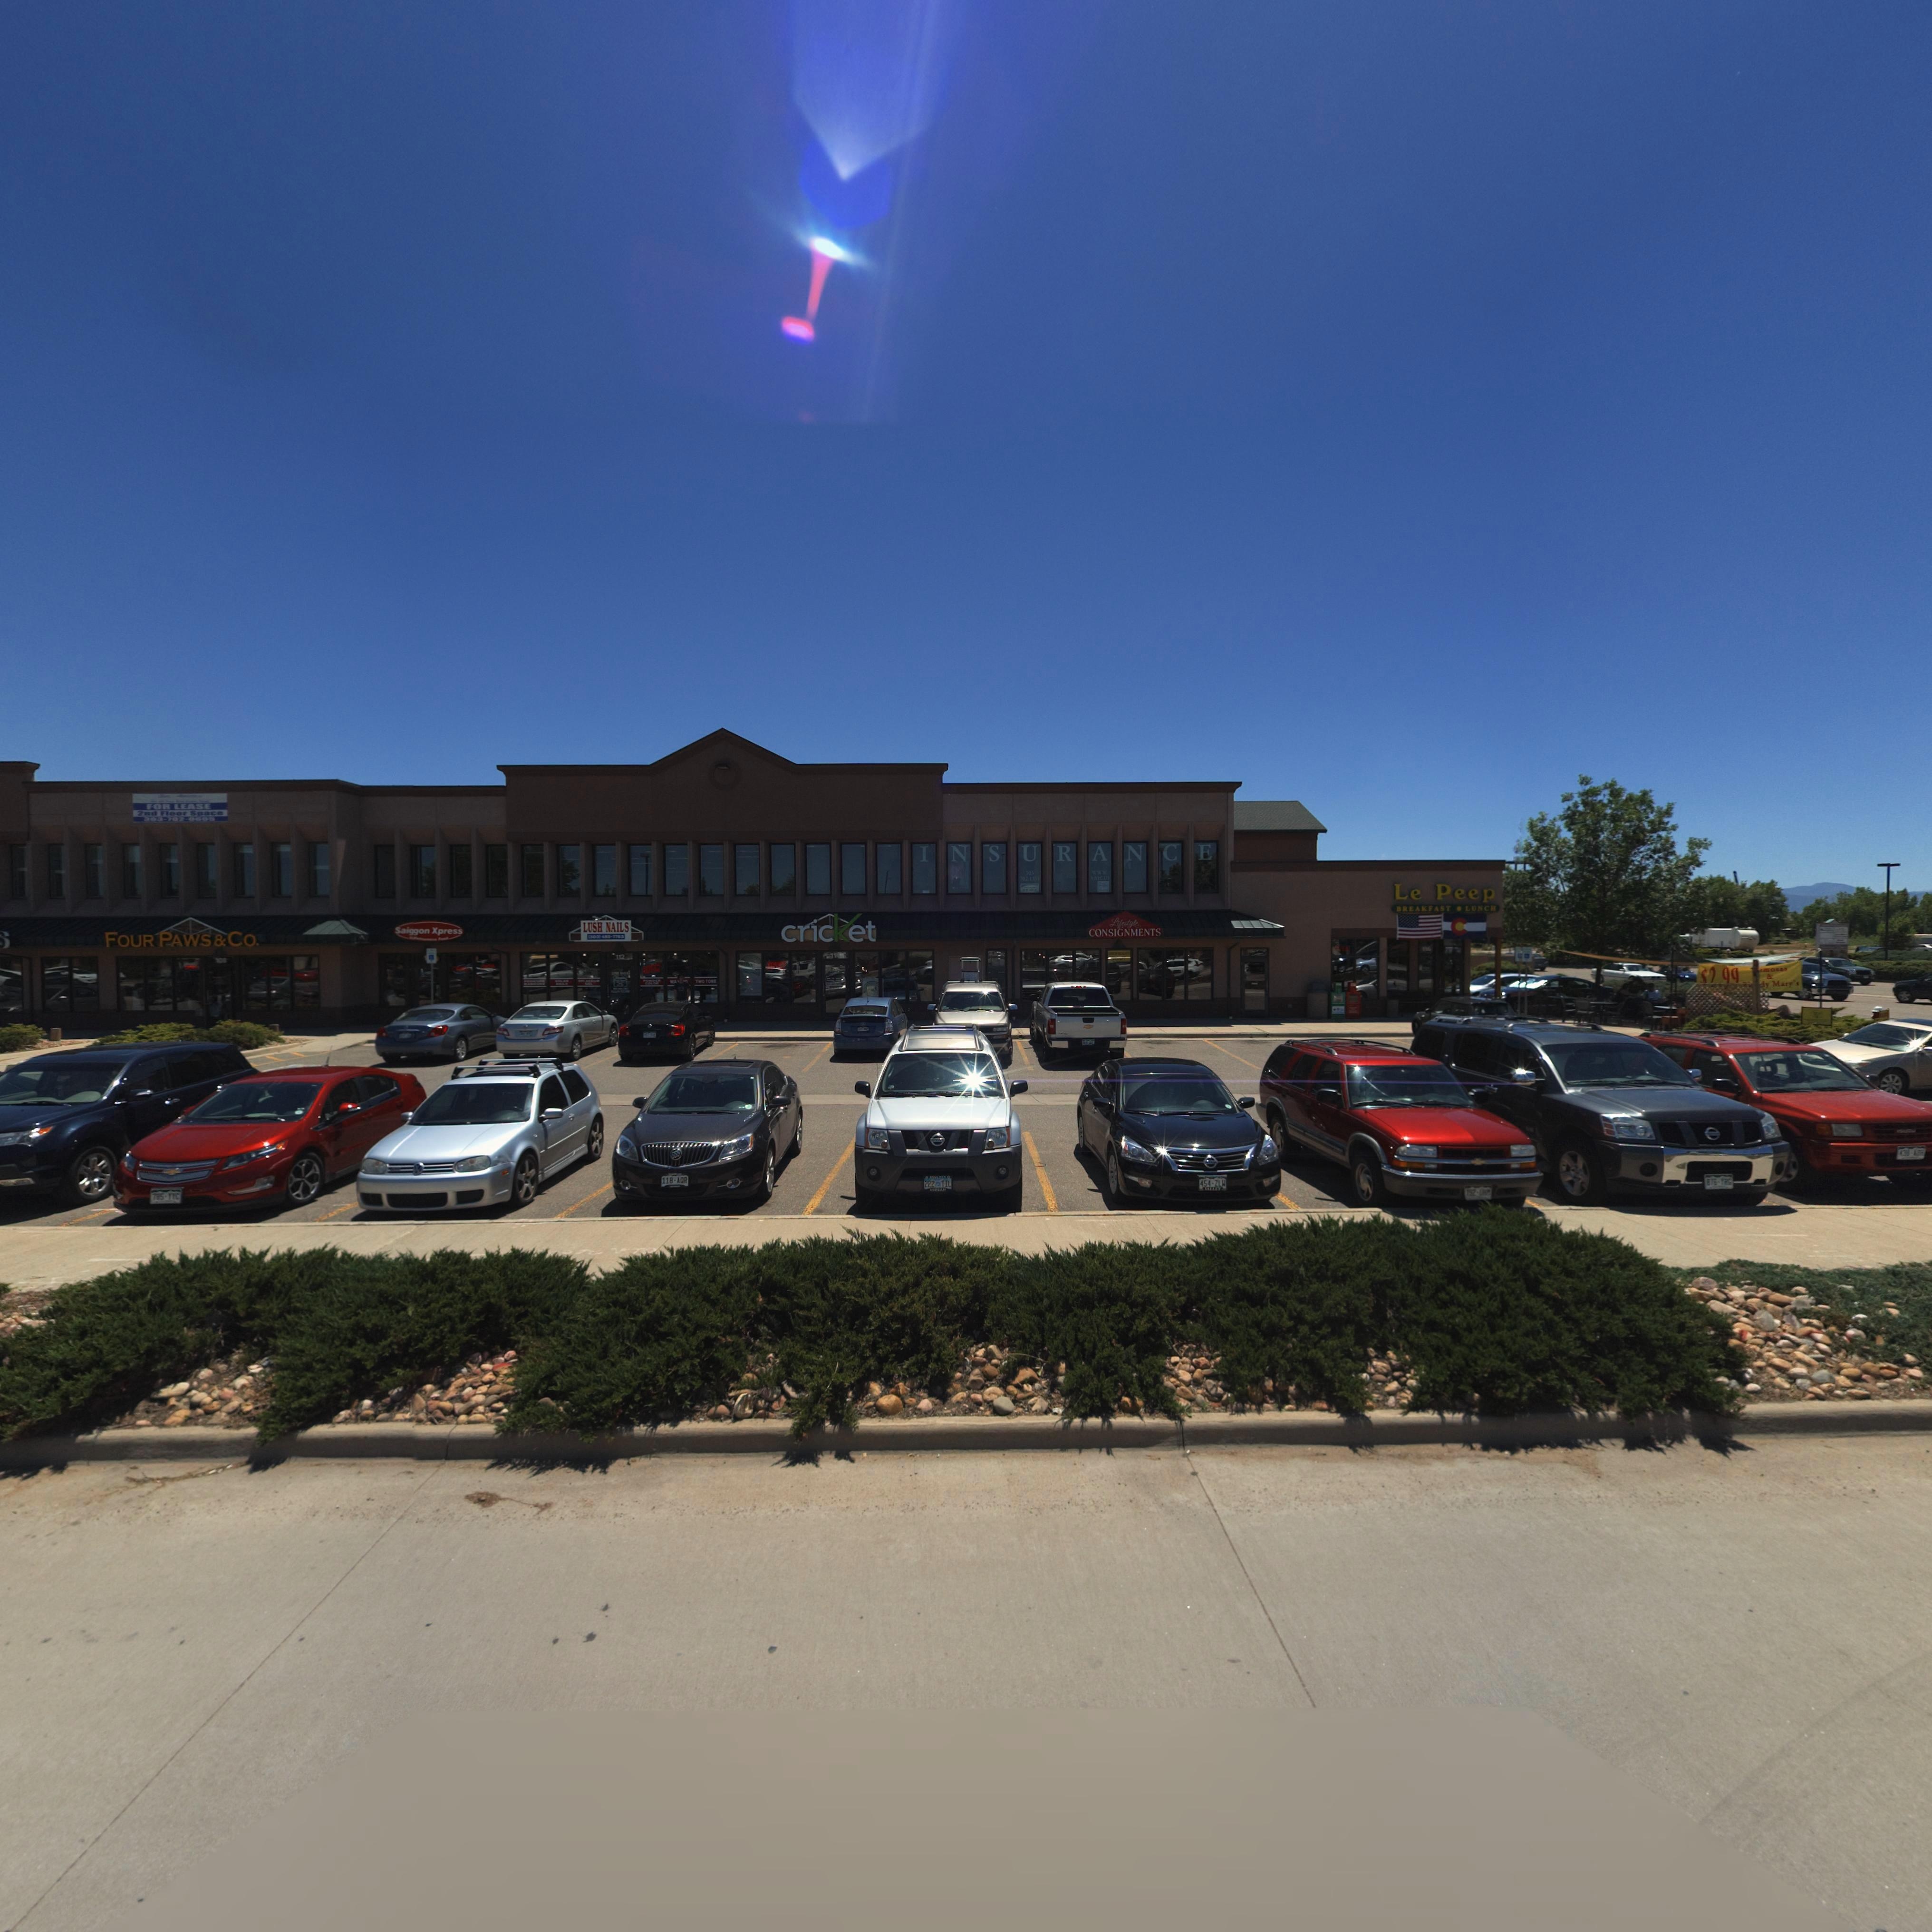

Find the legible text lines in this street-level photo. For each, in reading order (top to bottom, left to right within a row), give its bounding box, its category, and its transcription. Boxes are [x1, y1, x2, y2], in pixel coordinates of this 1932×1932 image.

[1392, 883, 1495, 903] BusinessName: Le Peep
[394, 926, 463, 936] BusinessName: Sai*gon Xpress
[582, 921, 629, 933] BusinessName: LUSH NAILS
[780, 912, 877, 943] BusinessName: cricket
[1109, 917, 1140, 928] BusinessName: Lifestyle
[1088, 927, 1161, 937] BusinessName: CONSIGNMENTS
[104, 930, 260, 948] BusinessName: FOUR PAWS & CO.
[1421, 946, 1431, 951] StreetNumber: 116
[615, 953, 625, 960] StreetNumber: 112
[829, 952, 840, 958] StreetNumber: 114